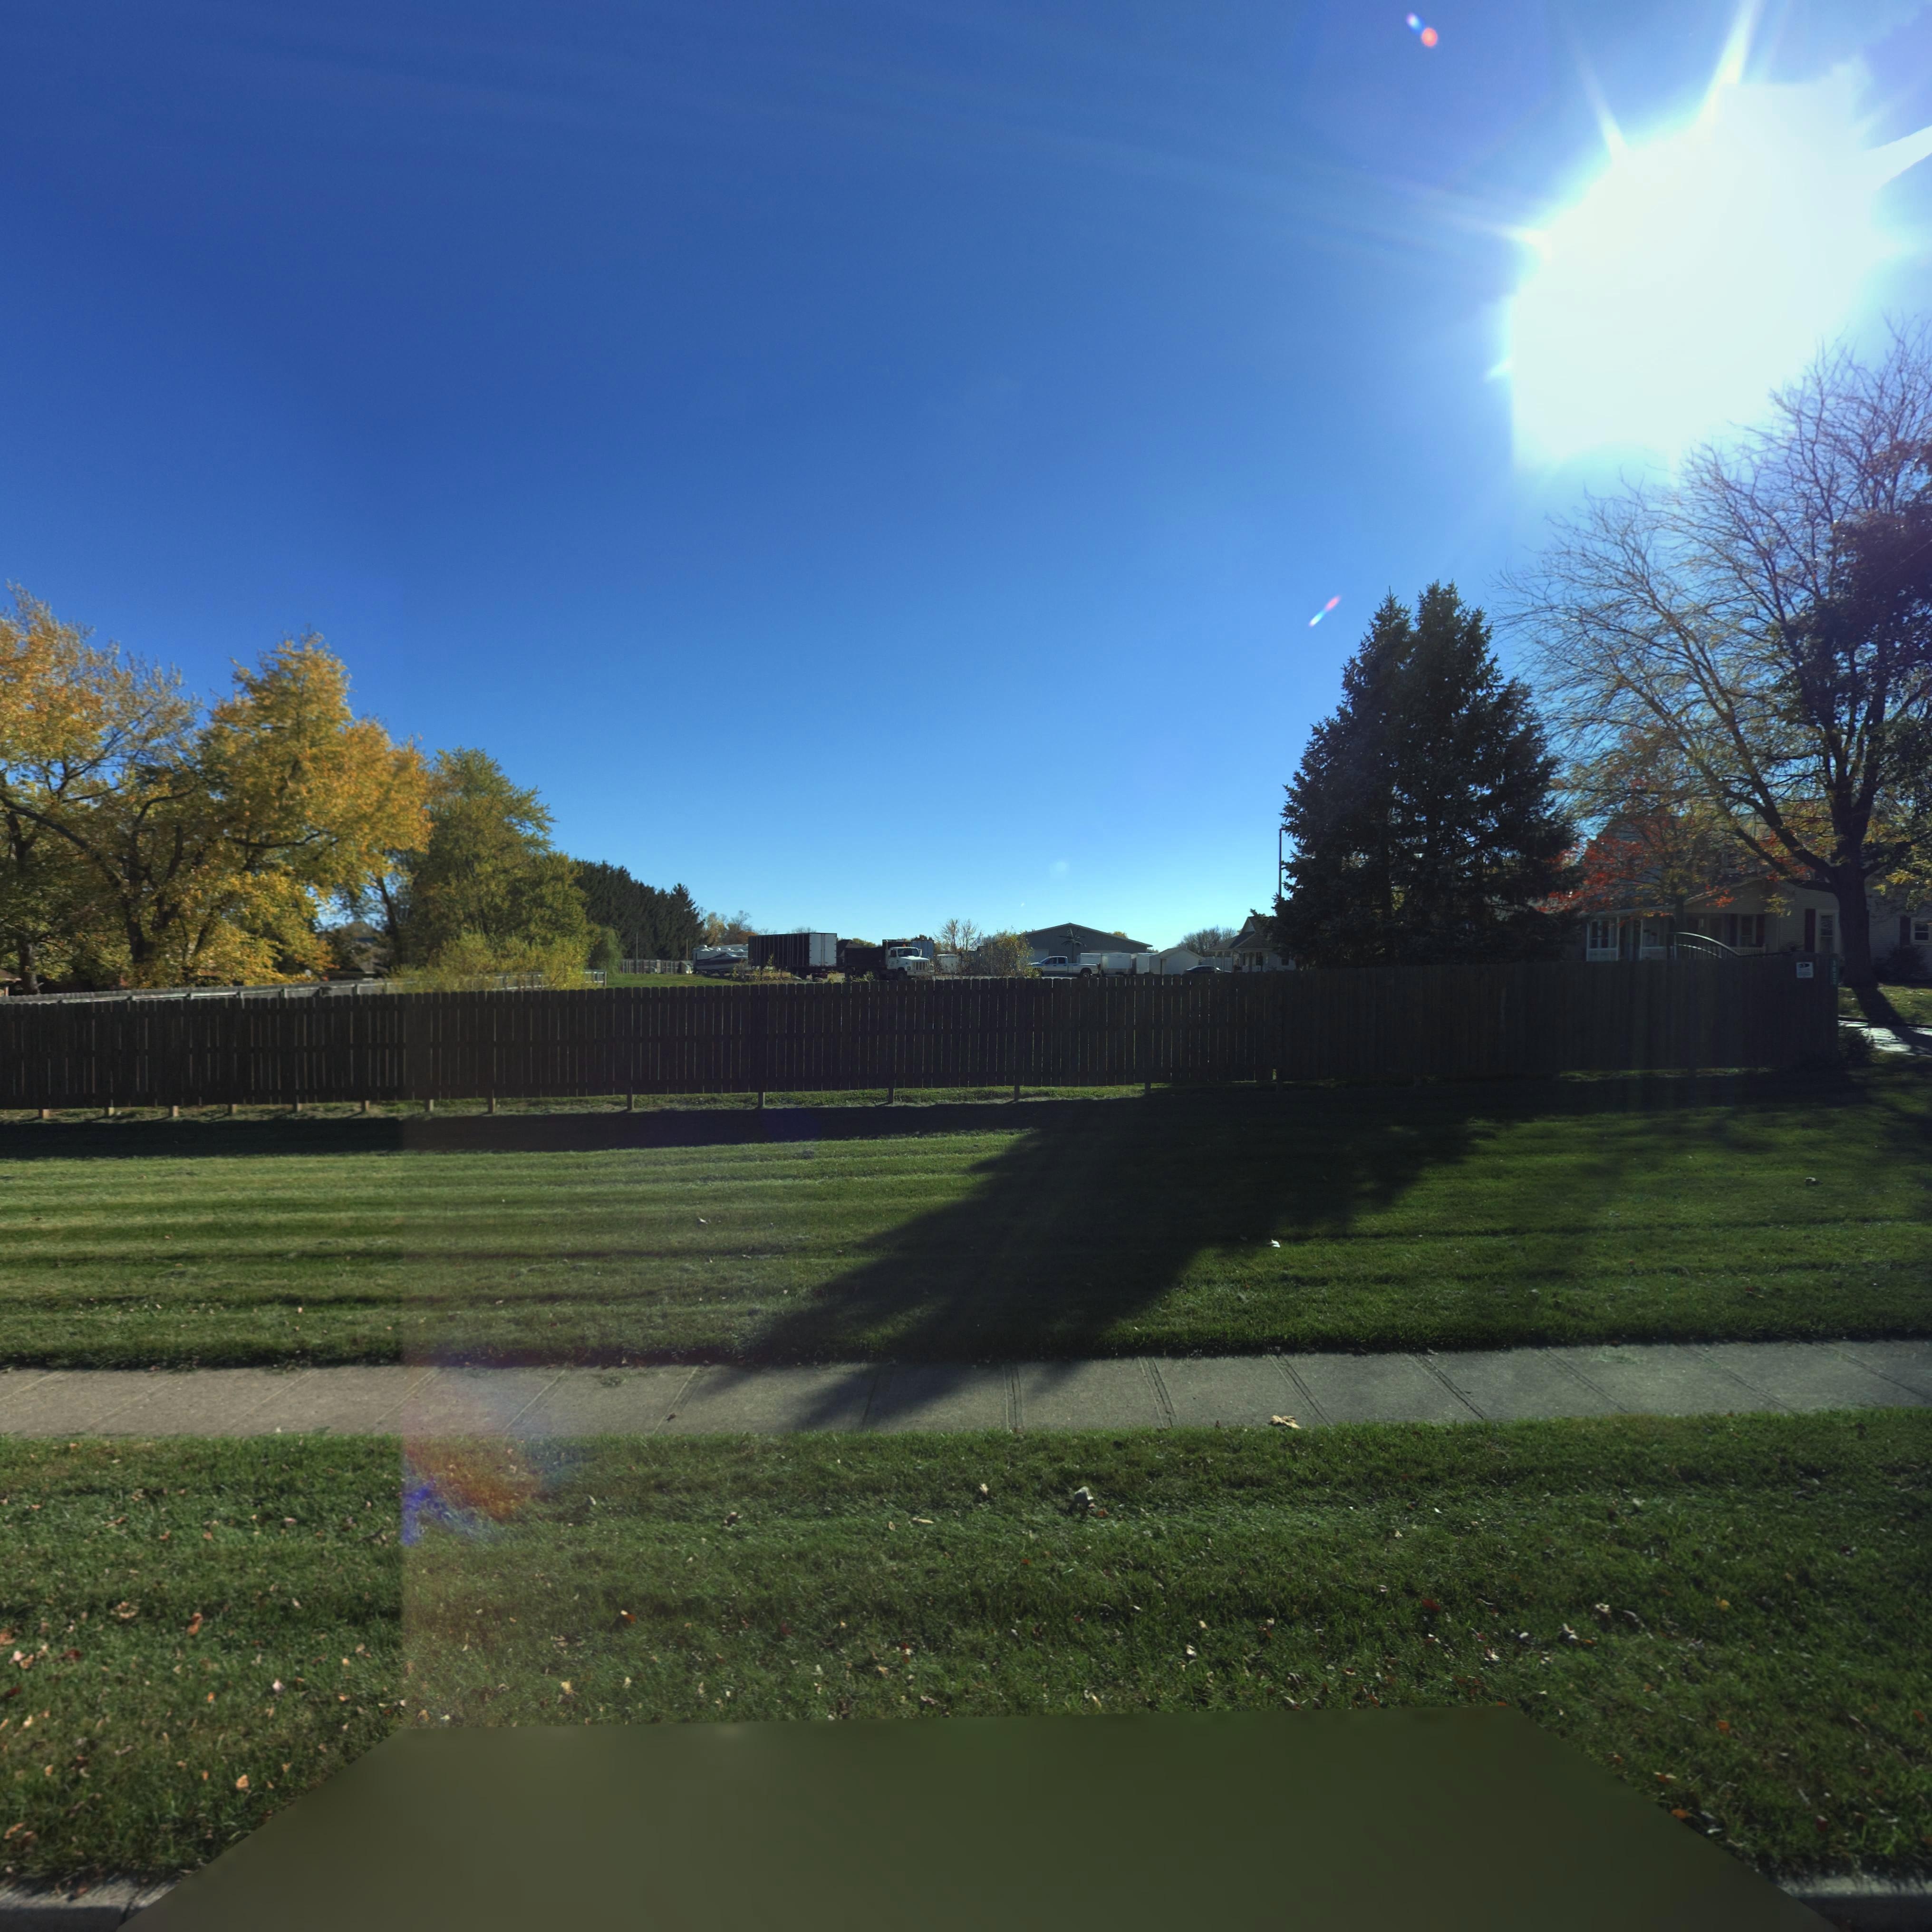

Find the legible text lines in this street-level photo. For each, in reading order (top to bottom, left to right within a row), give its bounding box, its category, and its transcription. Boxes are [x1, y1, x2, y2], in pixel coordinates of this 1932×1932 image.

[1832, 960, 1837, 985] StreetNumber: 3822